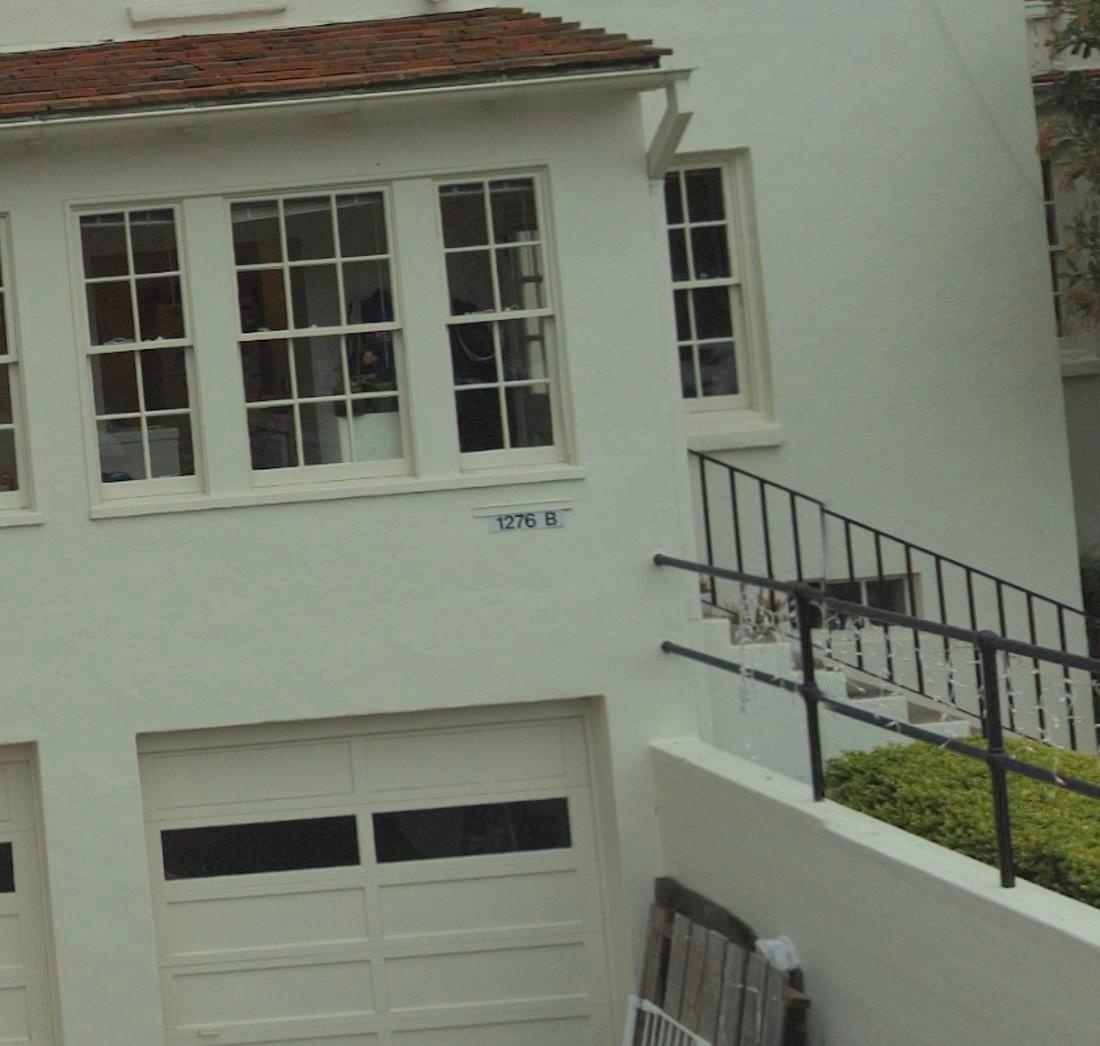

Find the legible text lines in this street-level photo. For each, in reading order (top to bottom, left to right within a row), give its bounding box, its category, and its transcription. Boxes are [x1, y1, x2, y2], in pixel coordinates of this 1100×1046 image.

[493, 510, 561, 532] StreetNumber: 1276 B